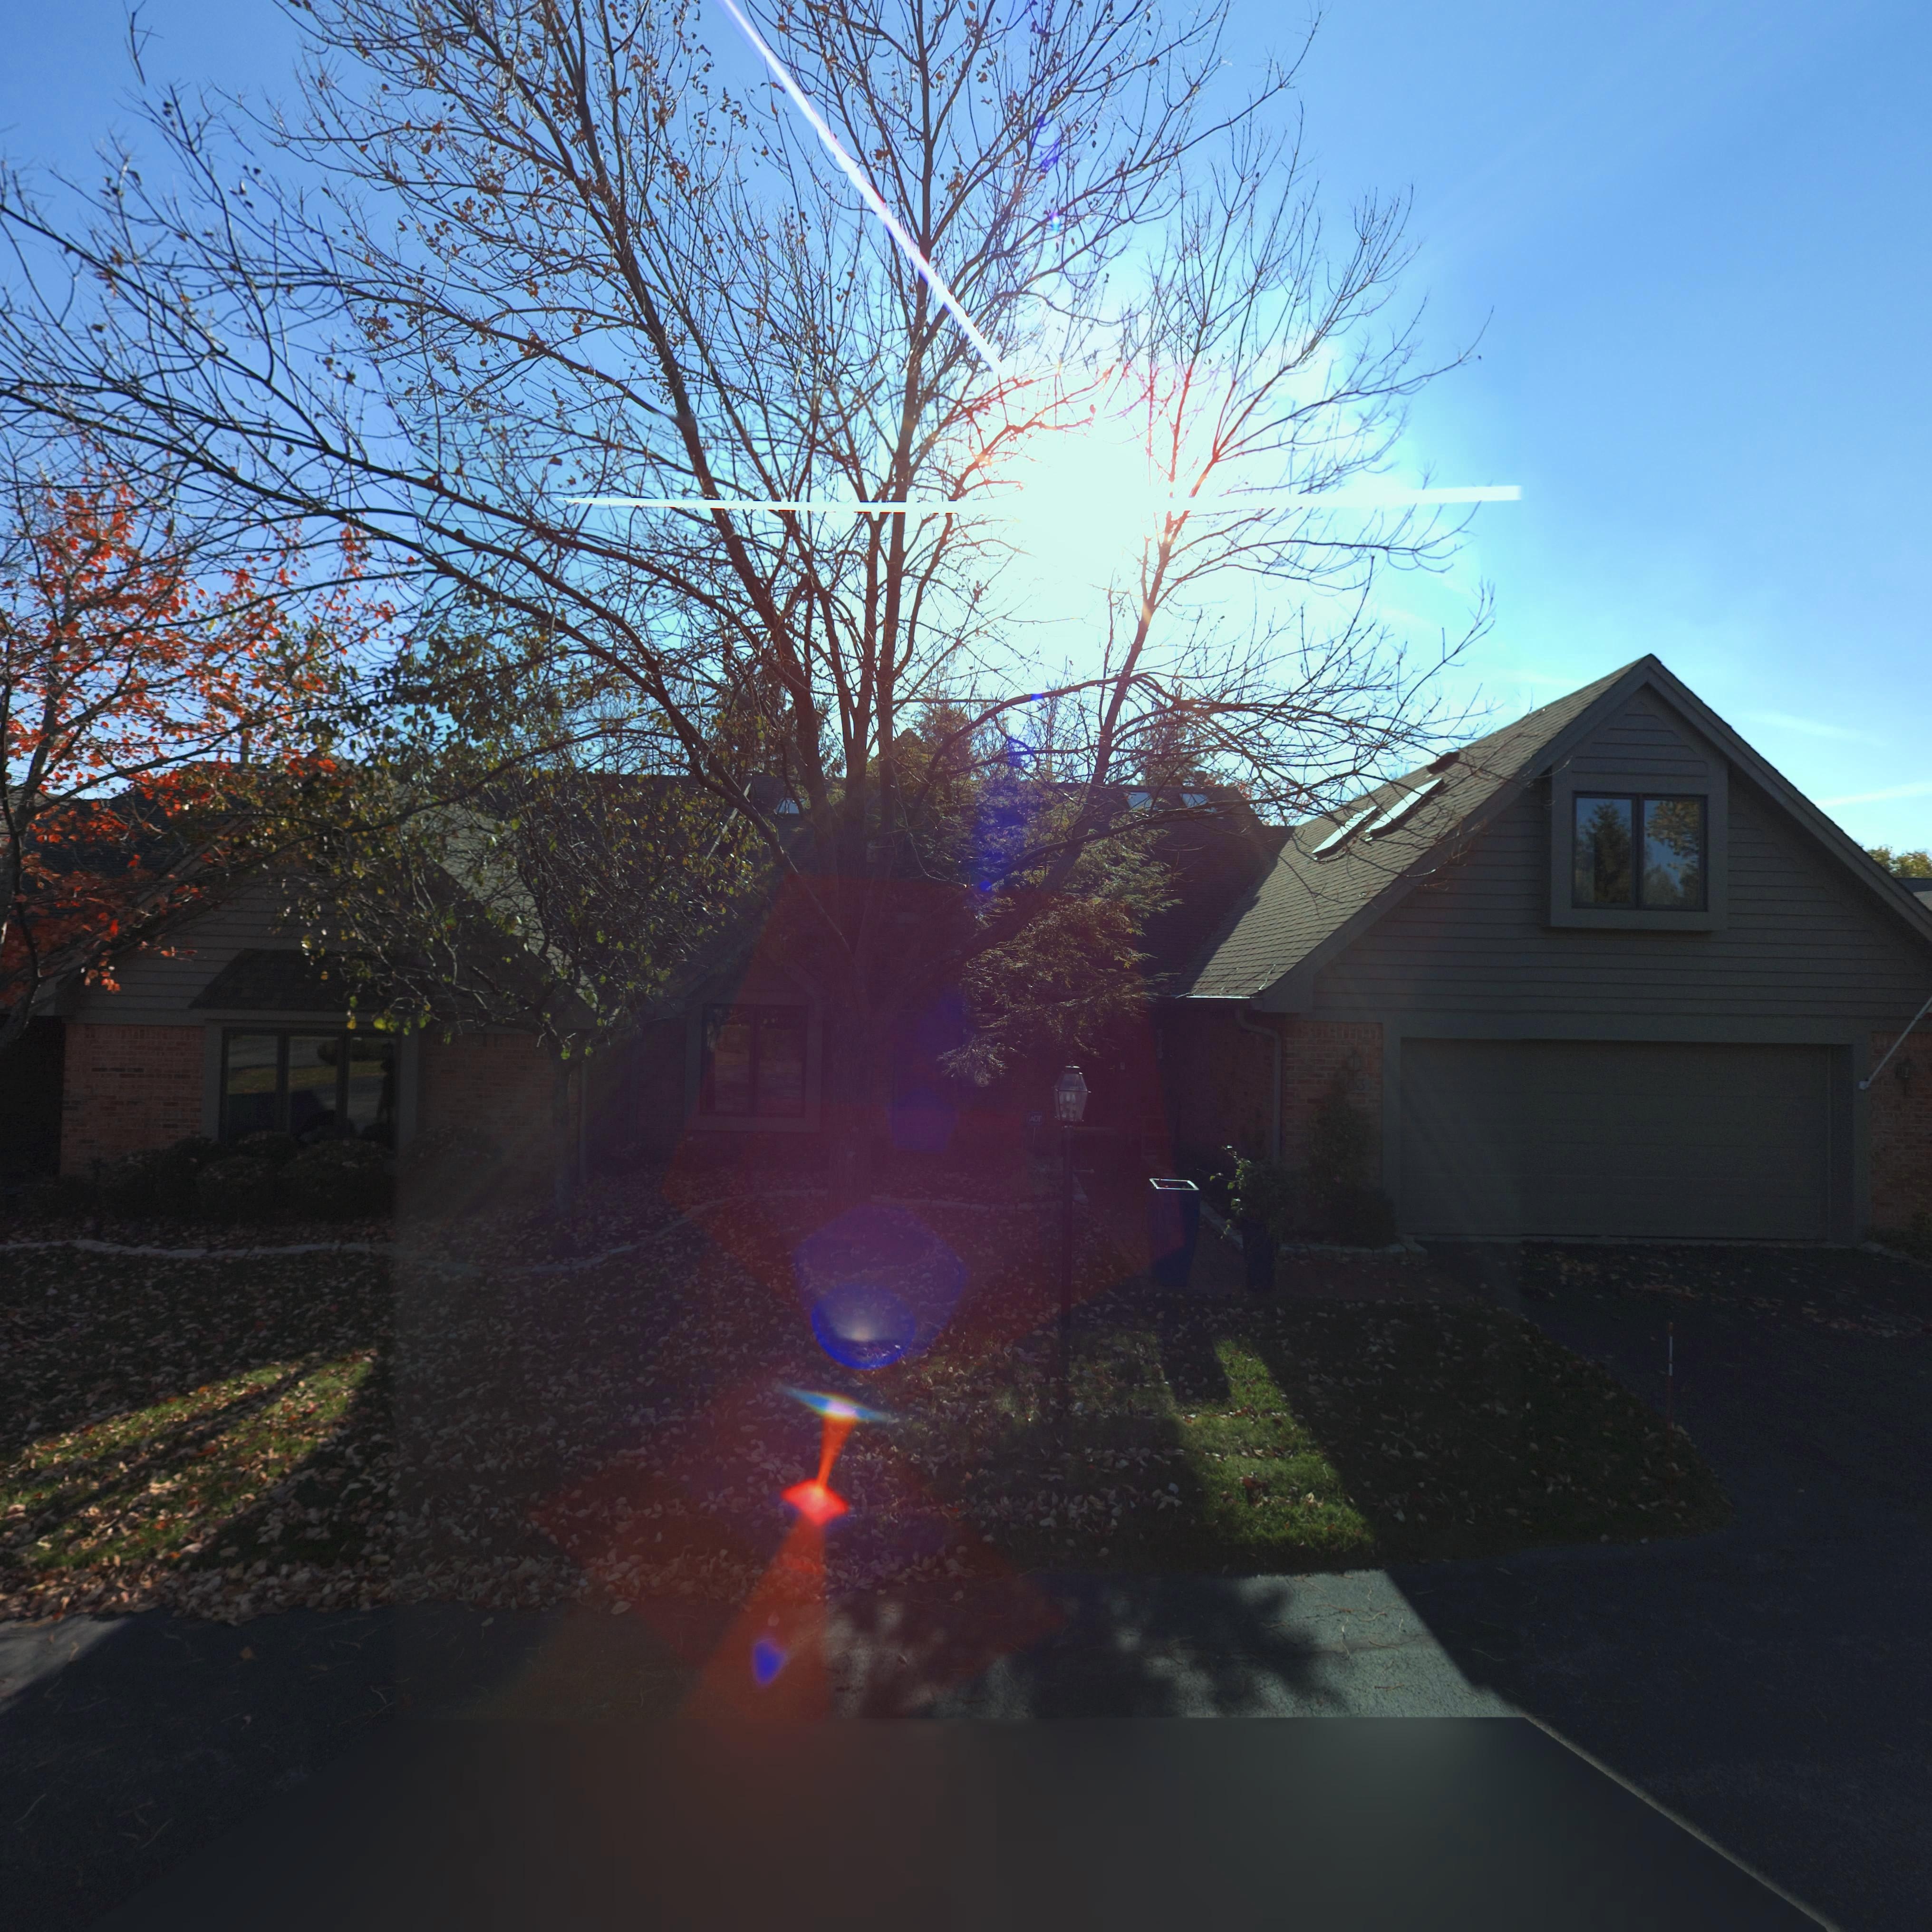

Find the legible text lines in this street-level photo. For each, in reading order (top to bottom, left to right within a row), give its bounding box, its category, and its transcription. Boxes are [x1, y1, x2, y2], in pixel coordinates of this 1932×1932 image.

[1345, 1077, 1365, 1092] StreetNumber: 03